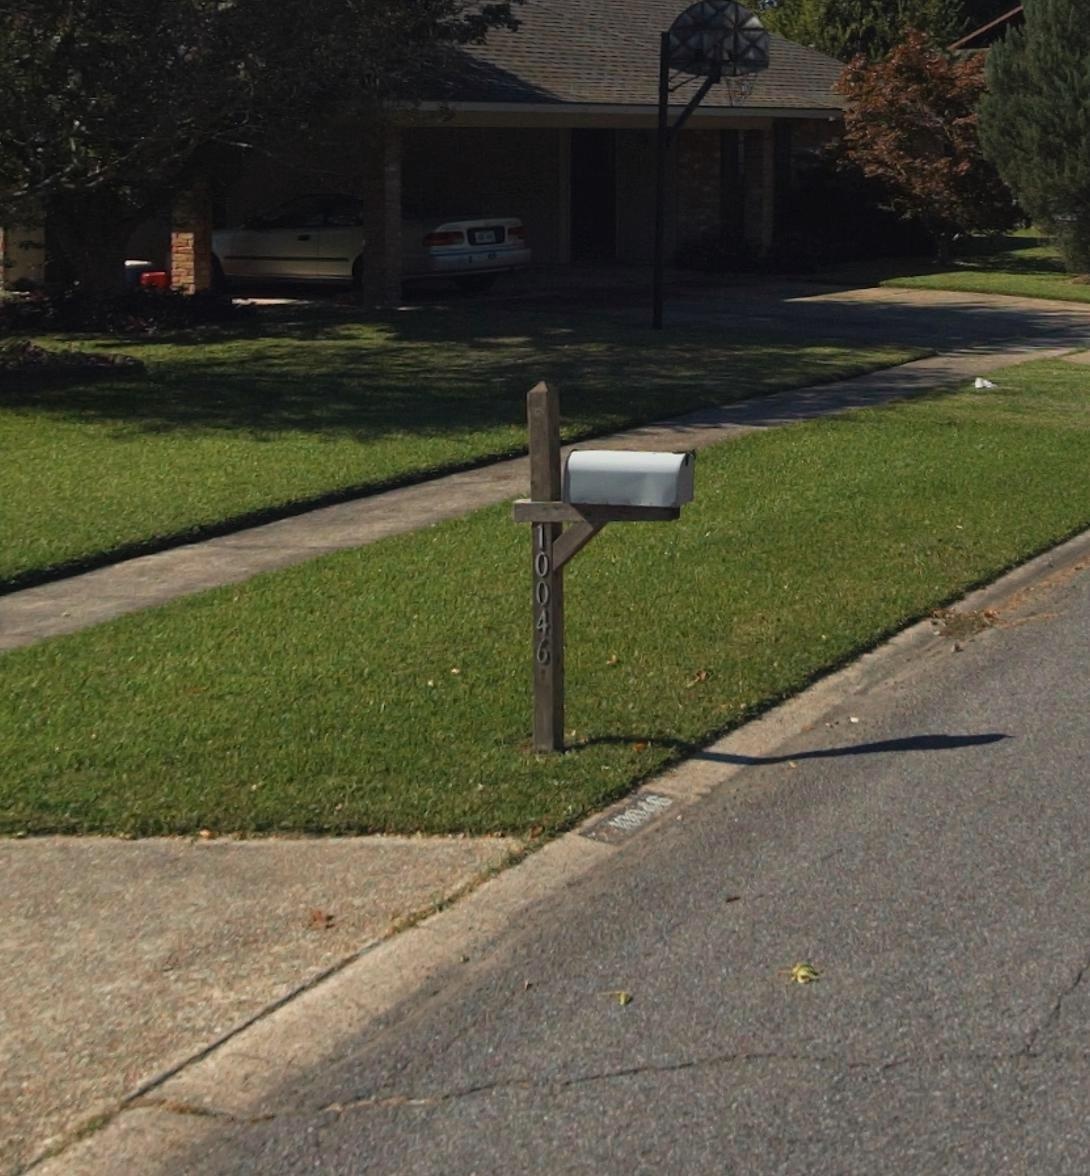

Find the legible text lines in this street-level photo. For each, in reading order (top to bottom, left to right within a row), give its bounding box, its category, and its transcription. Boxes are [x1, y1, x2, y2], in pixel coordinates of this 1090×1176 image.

[532, 521, 552, 665] StreetNumber: 10046